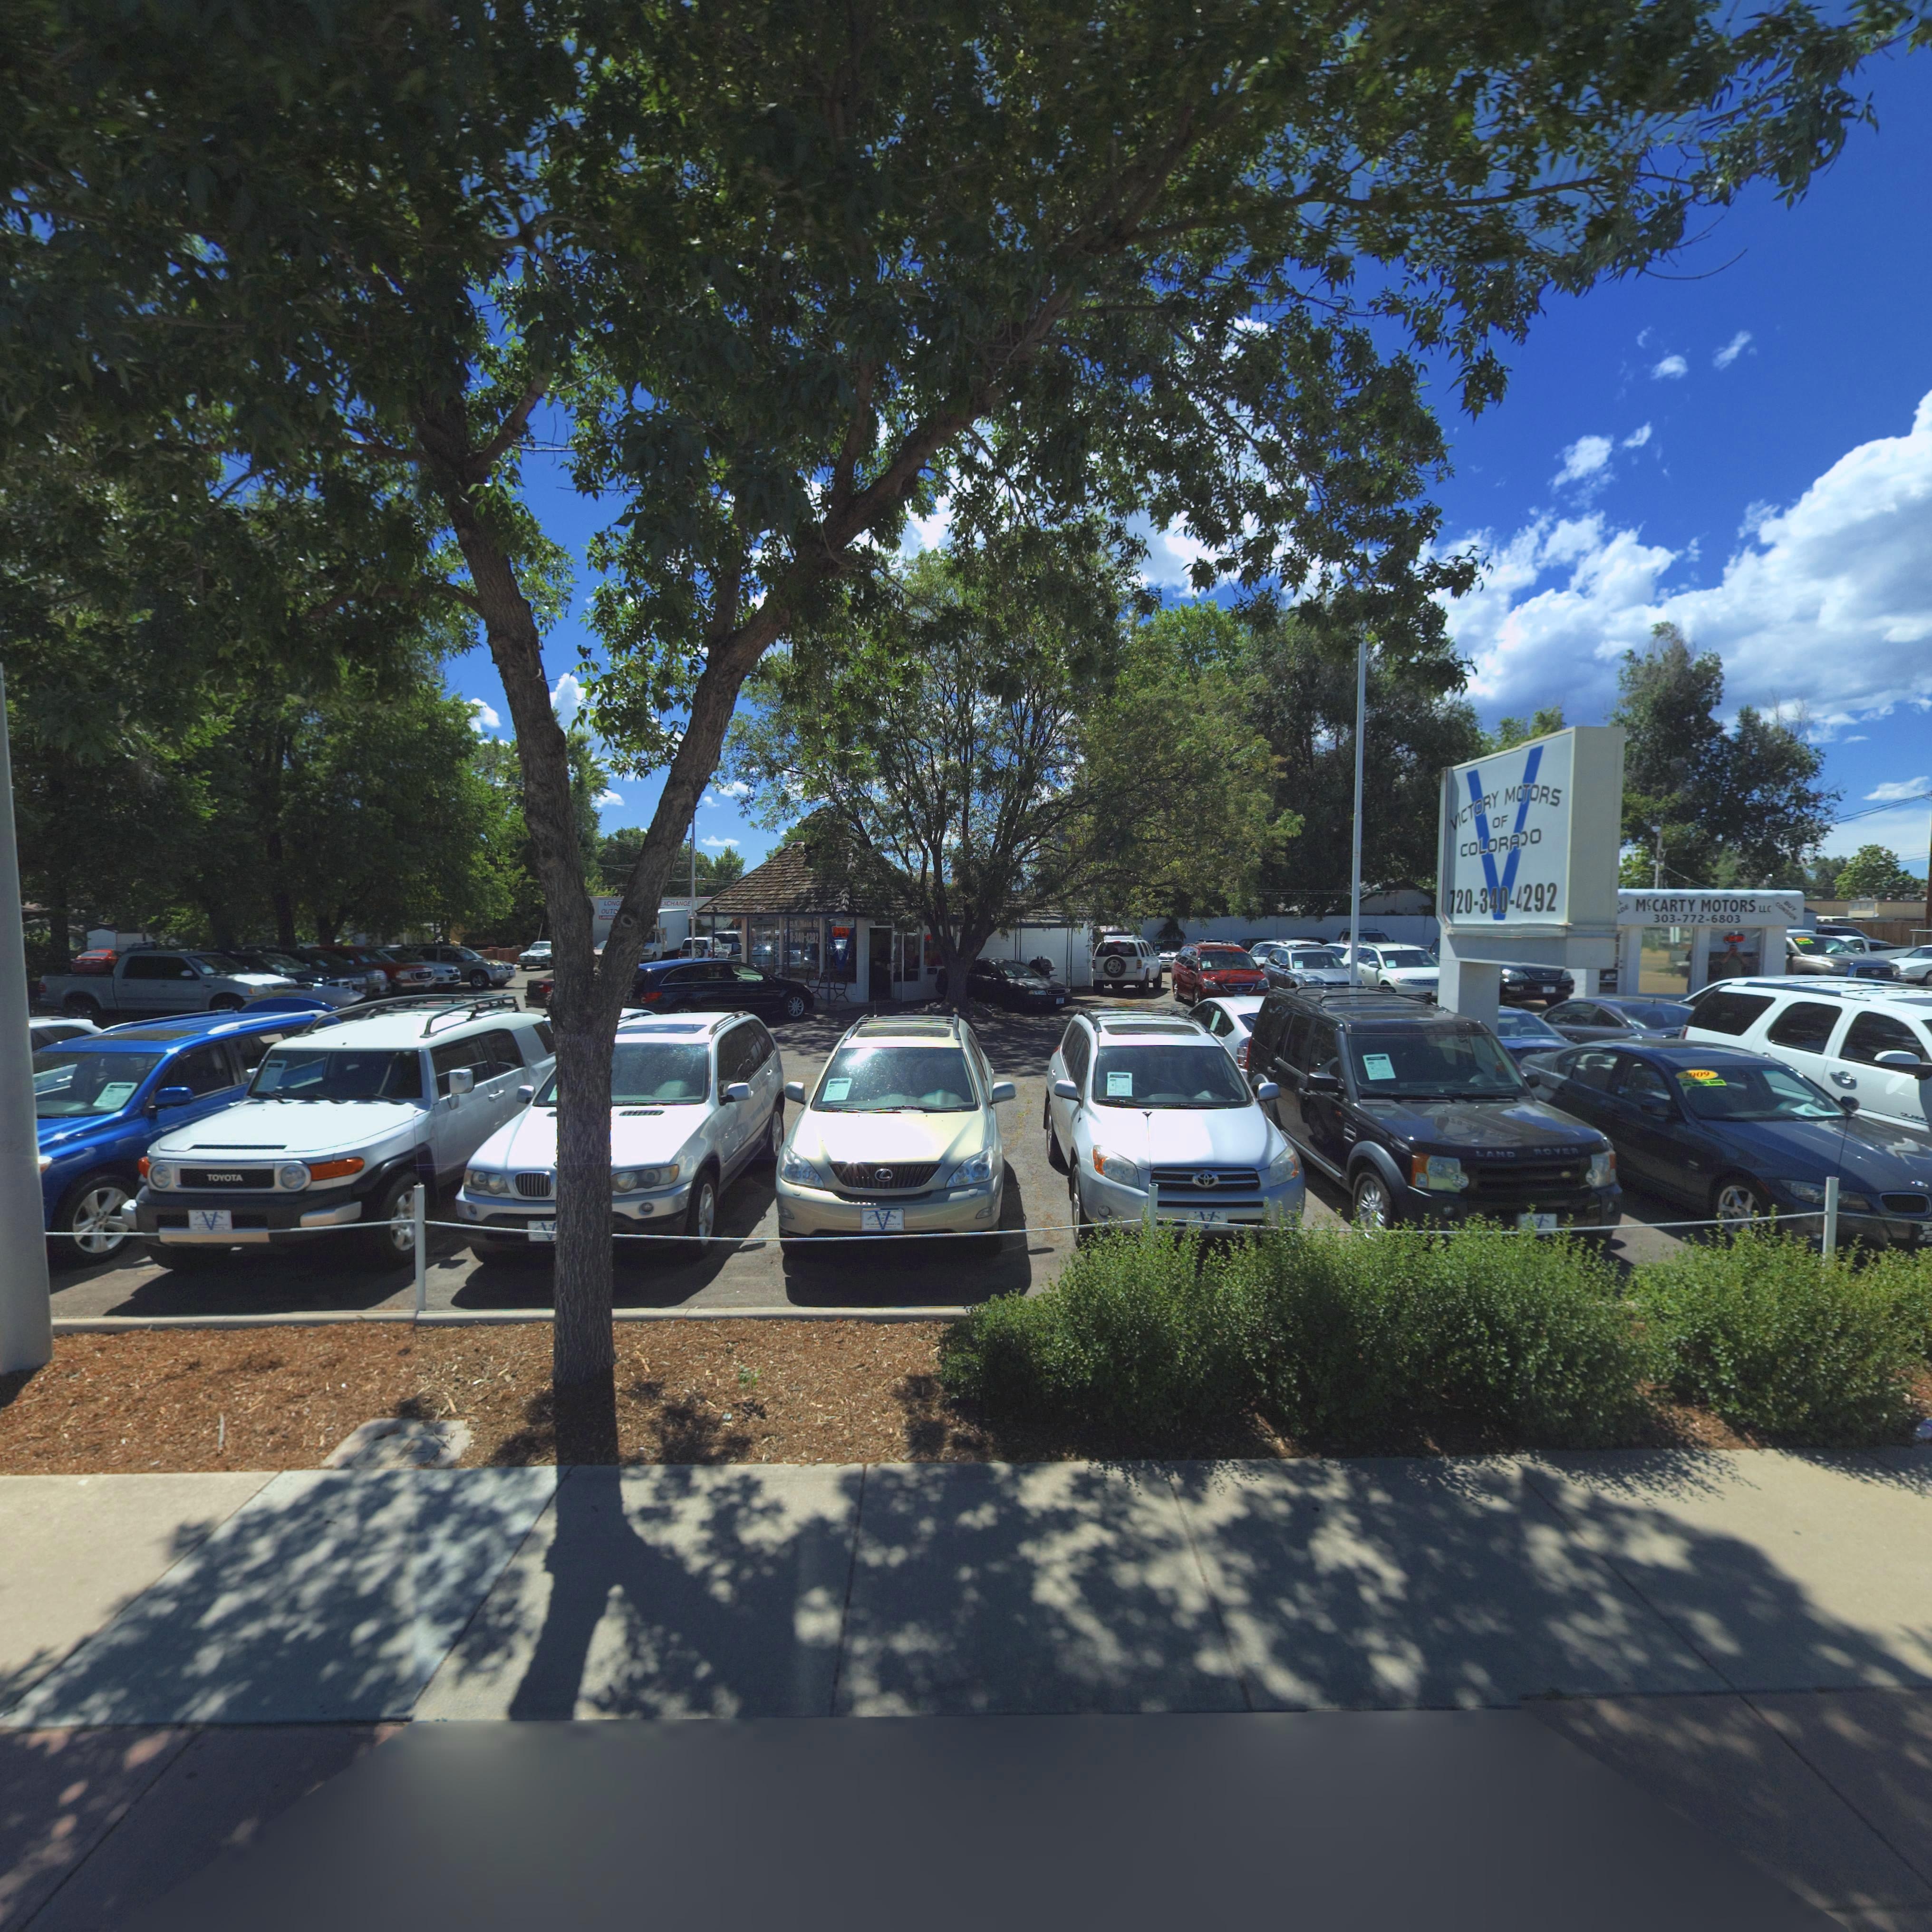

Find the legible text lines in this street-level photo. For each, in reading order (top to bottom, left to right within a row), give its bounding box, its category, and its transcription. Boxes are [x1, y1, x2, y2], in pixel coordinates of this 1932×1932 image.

[1449, 783, 1562, 830] BusinessName: VICTORY MOTORS
[1493, 815, 1507, 828] BusinessName: OF
[1459, 827, 1541, 858] BusinessName:  COLORA*O
[600, 908, 619, 914] BusinessName: OUT*******
[604, 900, 691, 906] BusinessName: LONG**** **** EXCHANGE
[1635, 899, 1755, 912] BusinessName: McCARTY MOTORS
[1759, 905, 1771, 912] BusinessName: LLC
[794, 920, 818, 927] StreetName: N Main St.